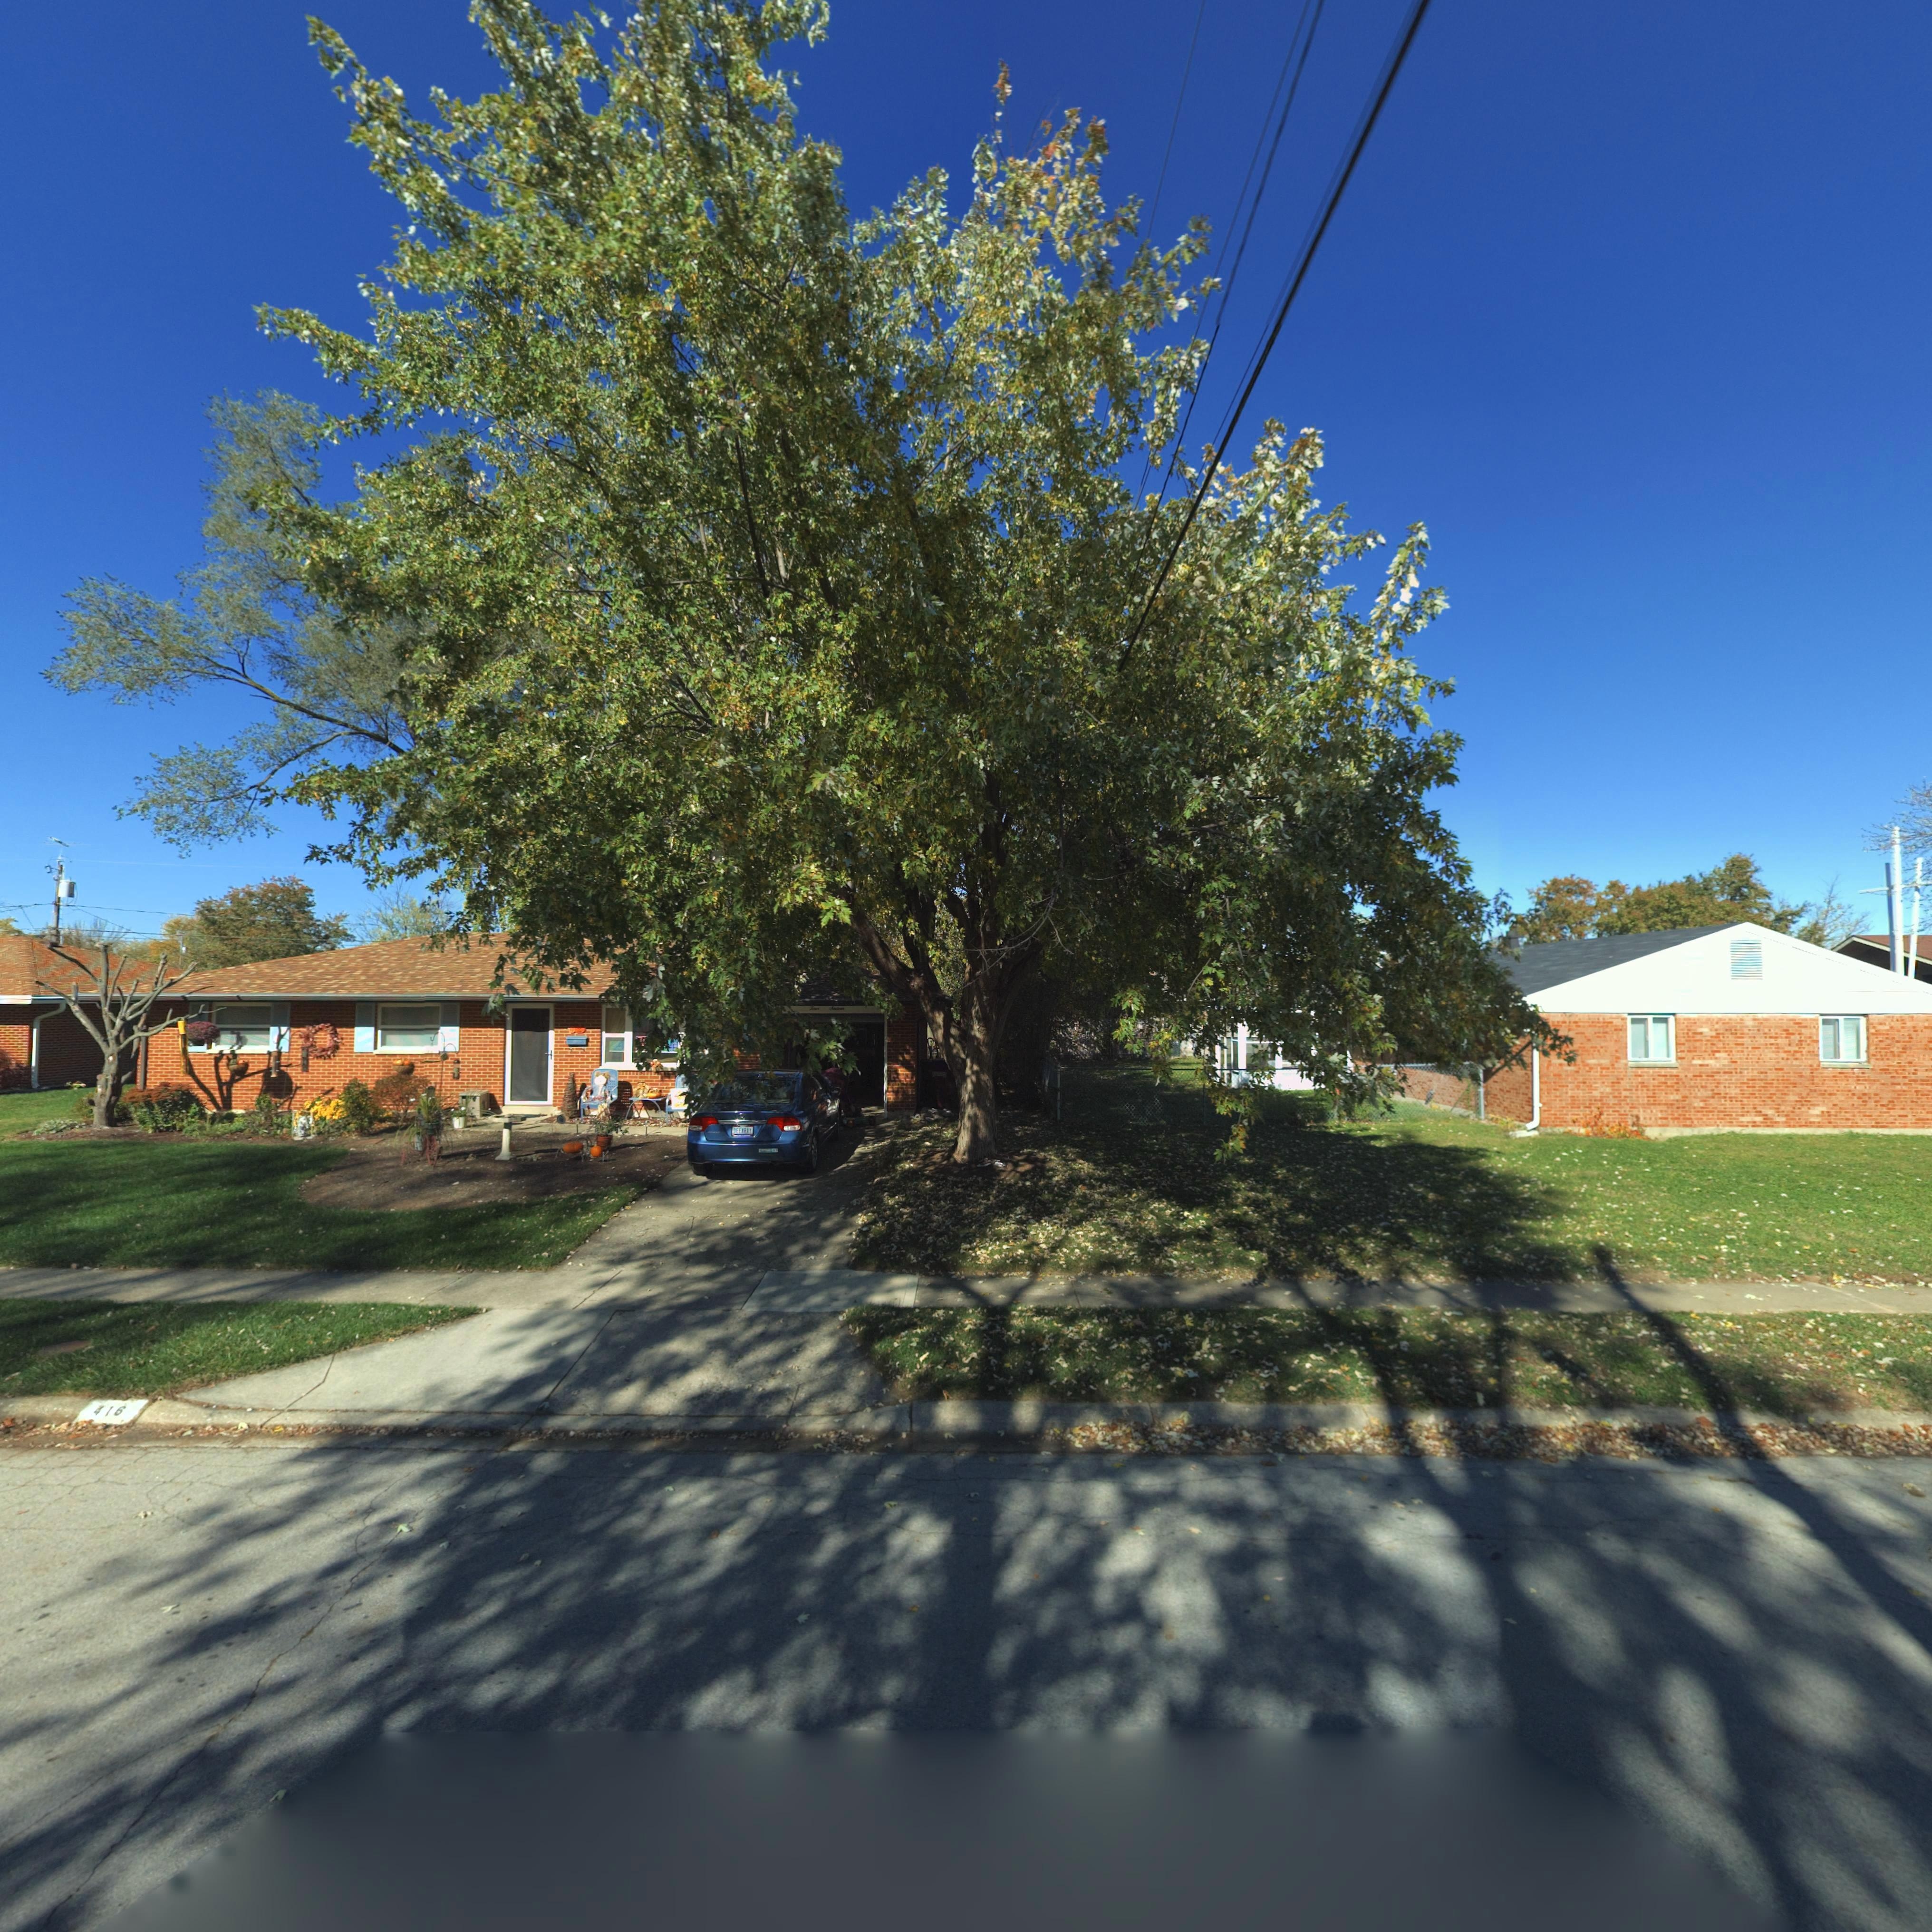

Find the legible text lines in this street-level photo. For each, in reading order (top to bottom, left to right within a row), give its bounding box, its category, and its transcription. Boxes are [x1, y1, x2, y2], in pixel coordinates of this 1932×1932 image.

[92, 1404, 127, 1418] StreetNumber: 416